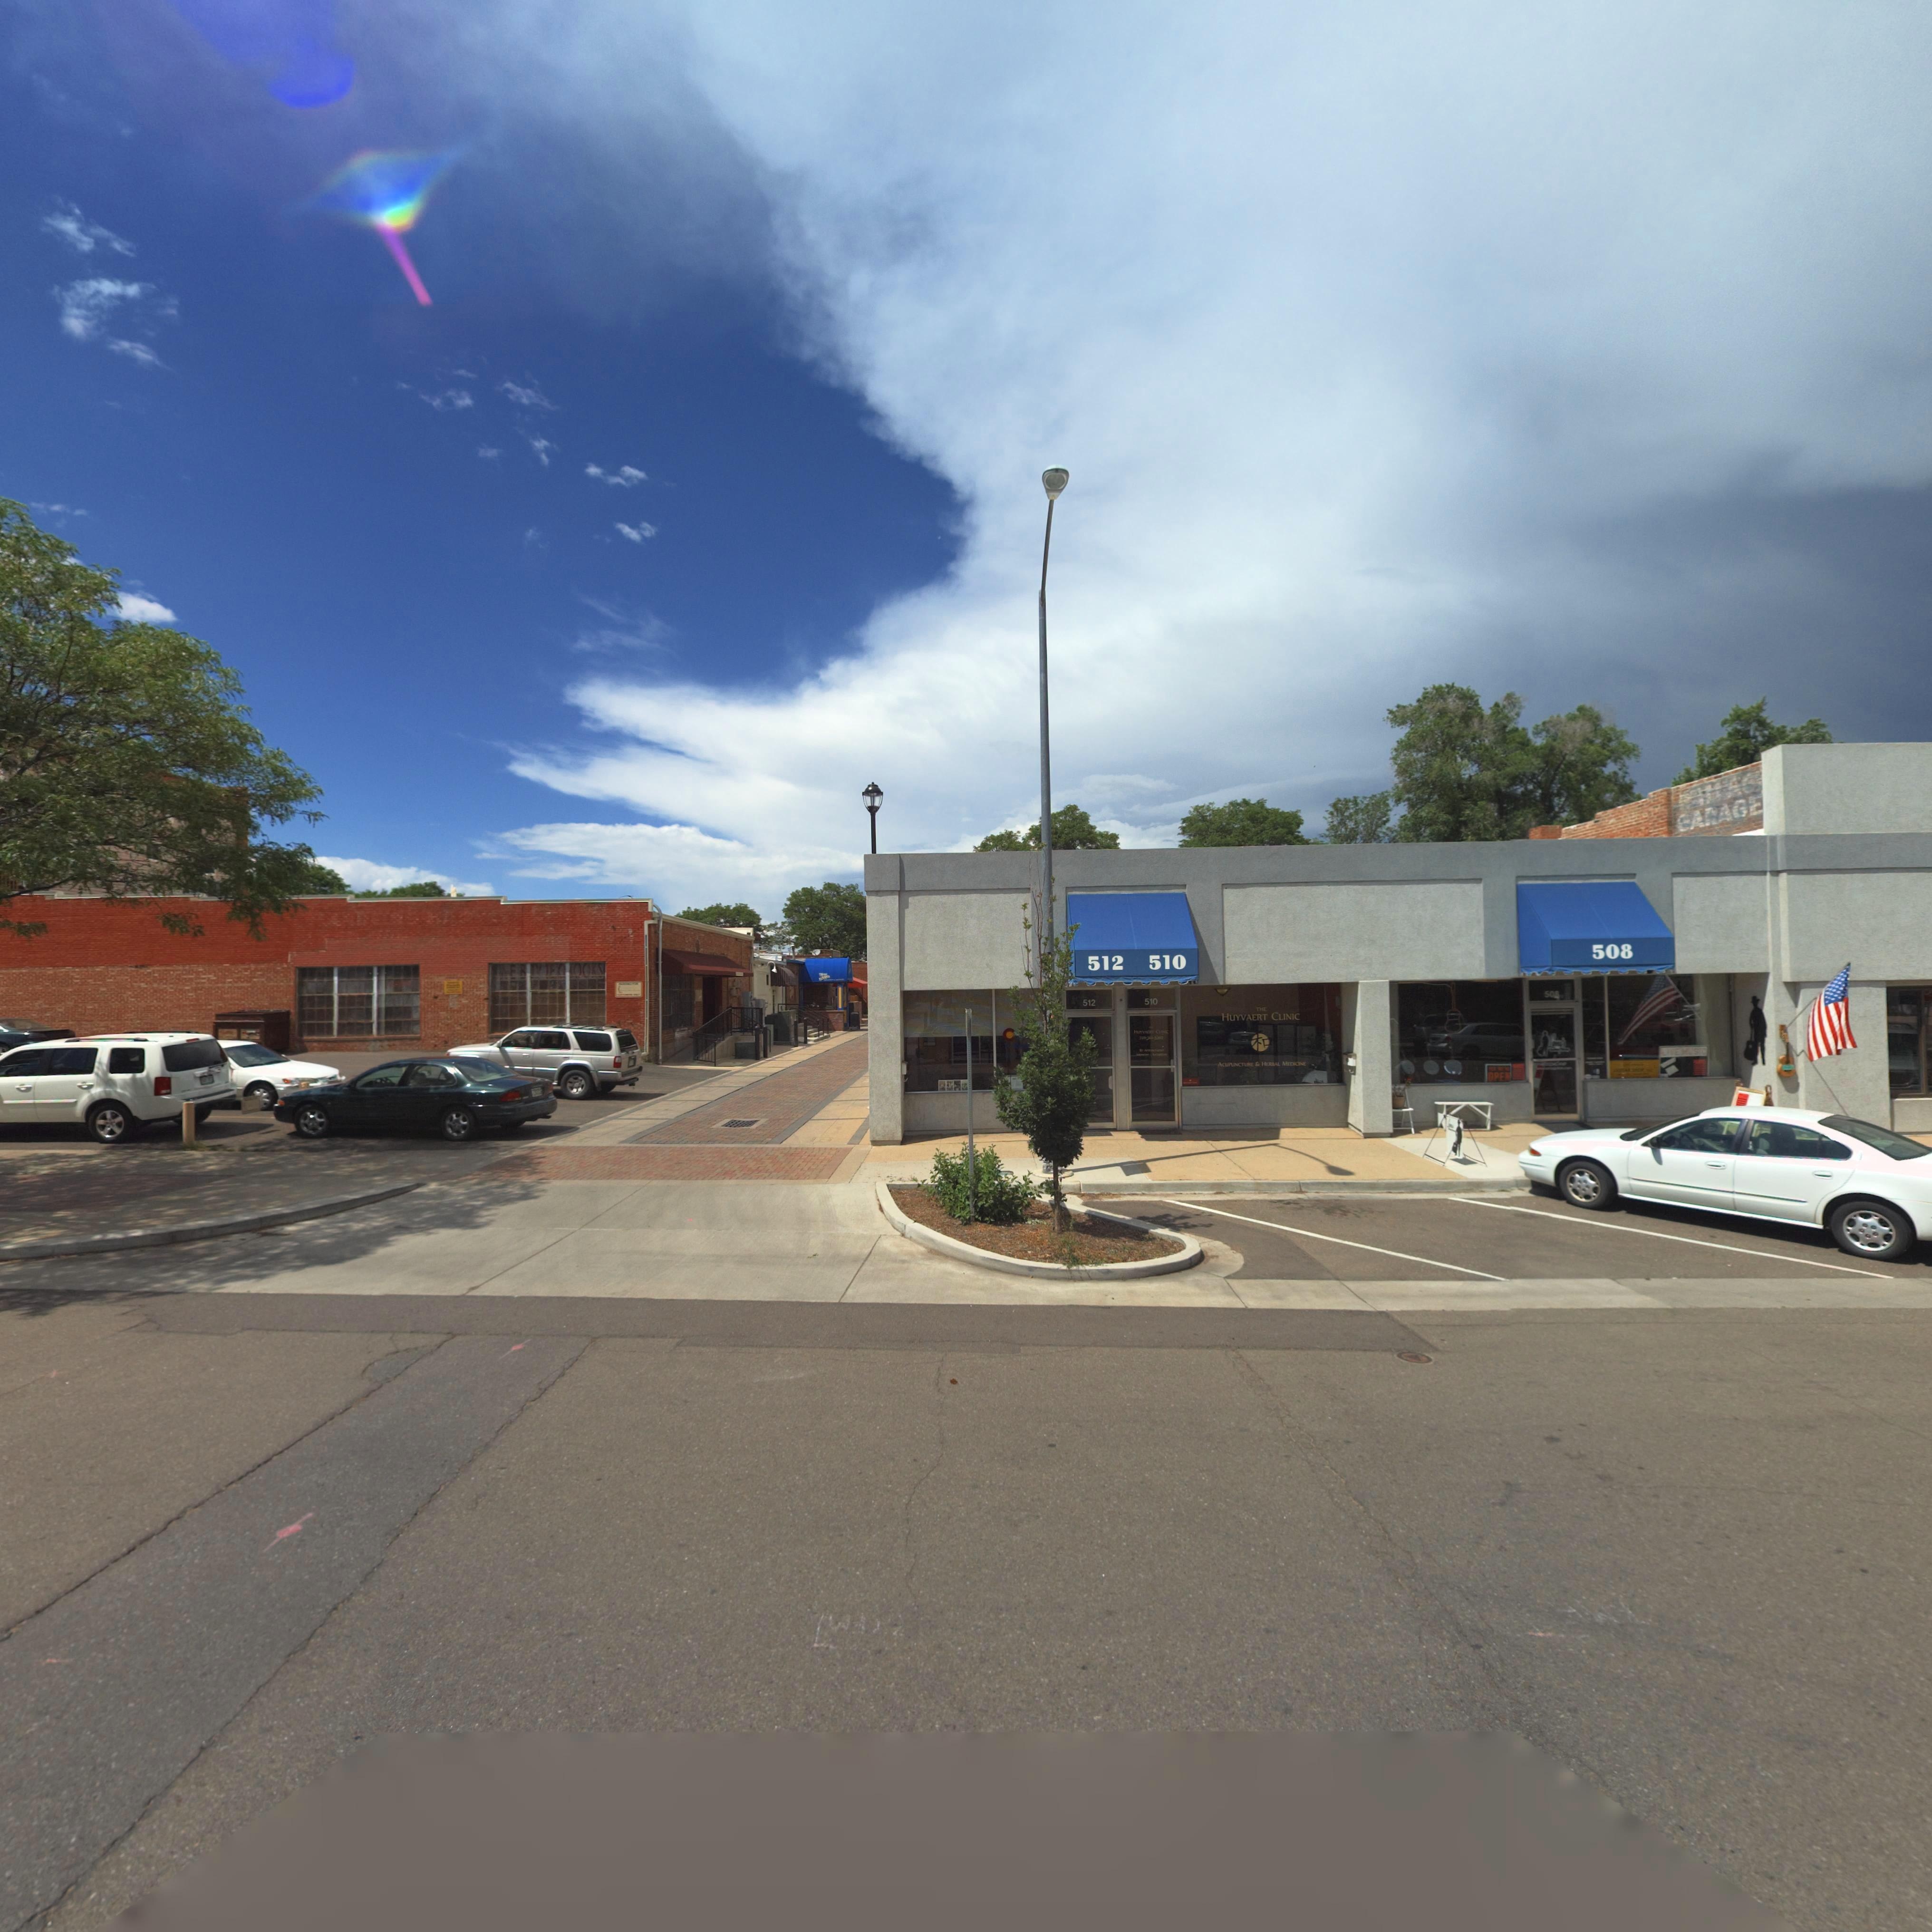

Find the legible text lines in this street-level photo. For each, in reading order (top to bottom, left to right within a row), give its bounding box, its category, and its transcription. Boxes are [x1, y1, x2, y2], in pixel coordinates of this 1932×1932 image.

[1088, 955, 1124, 971] StreetNumber: 512
[1149, 955, 1187, 970] StreetNumber: 510
[1545, 991, 1559, 998] StreetNumber: 507
[1082, 999, 1095, 1005] StreetNumber: 512
[1144, 998, 1158, 1005] StreetNumber: 510
[1255, 1006, 1267, 1011] BusinessName: THE
[1222, 1012, 1301, 1021] BusinessName: HUYVAERT CLINIC
[1134, 1029, 1169, 1034] BusinessName: HUYVAERT CLINIC